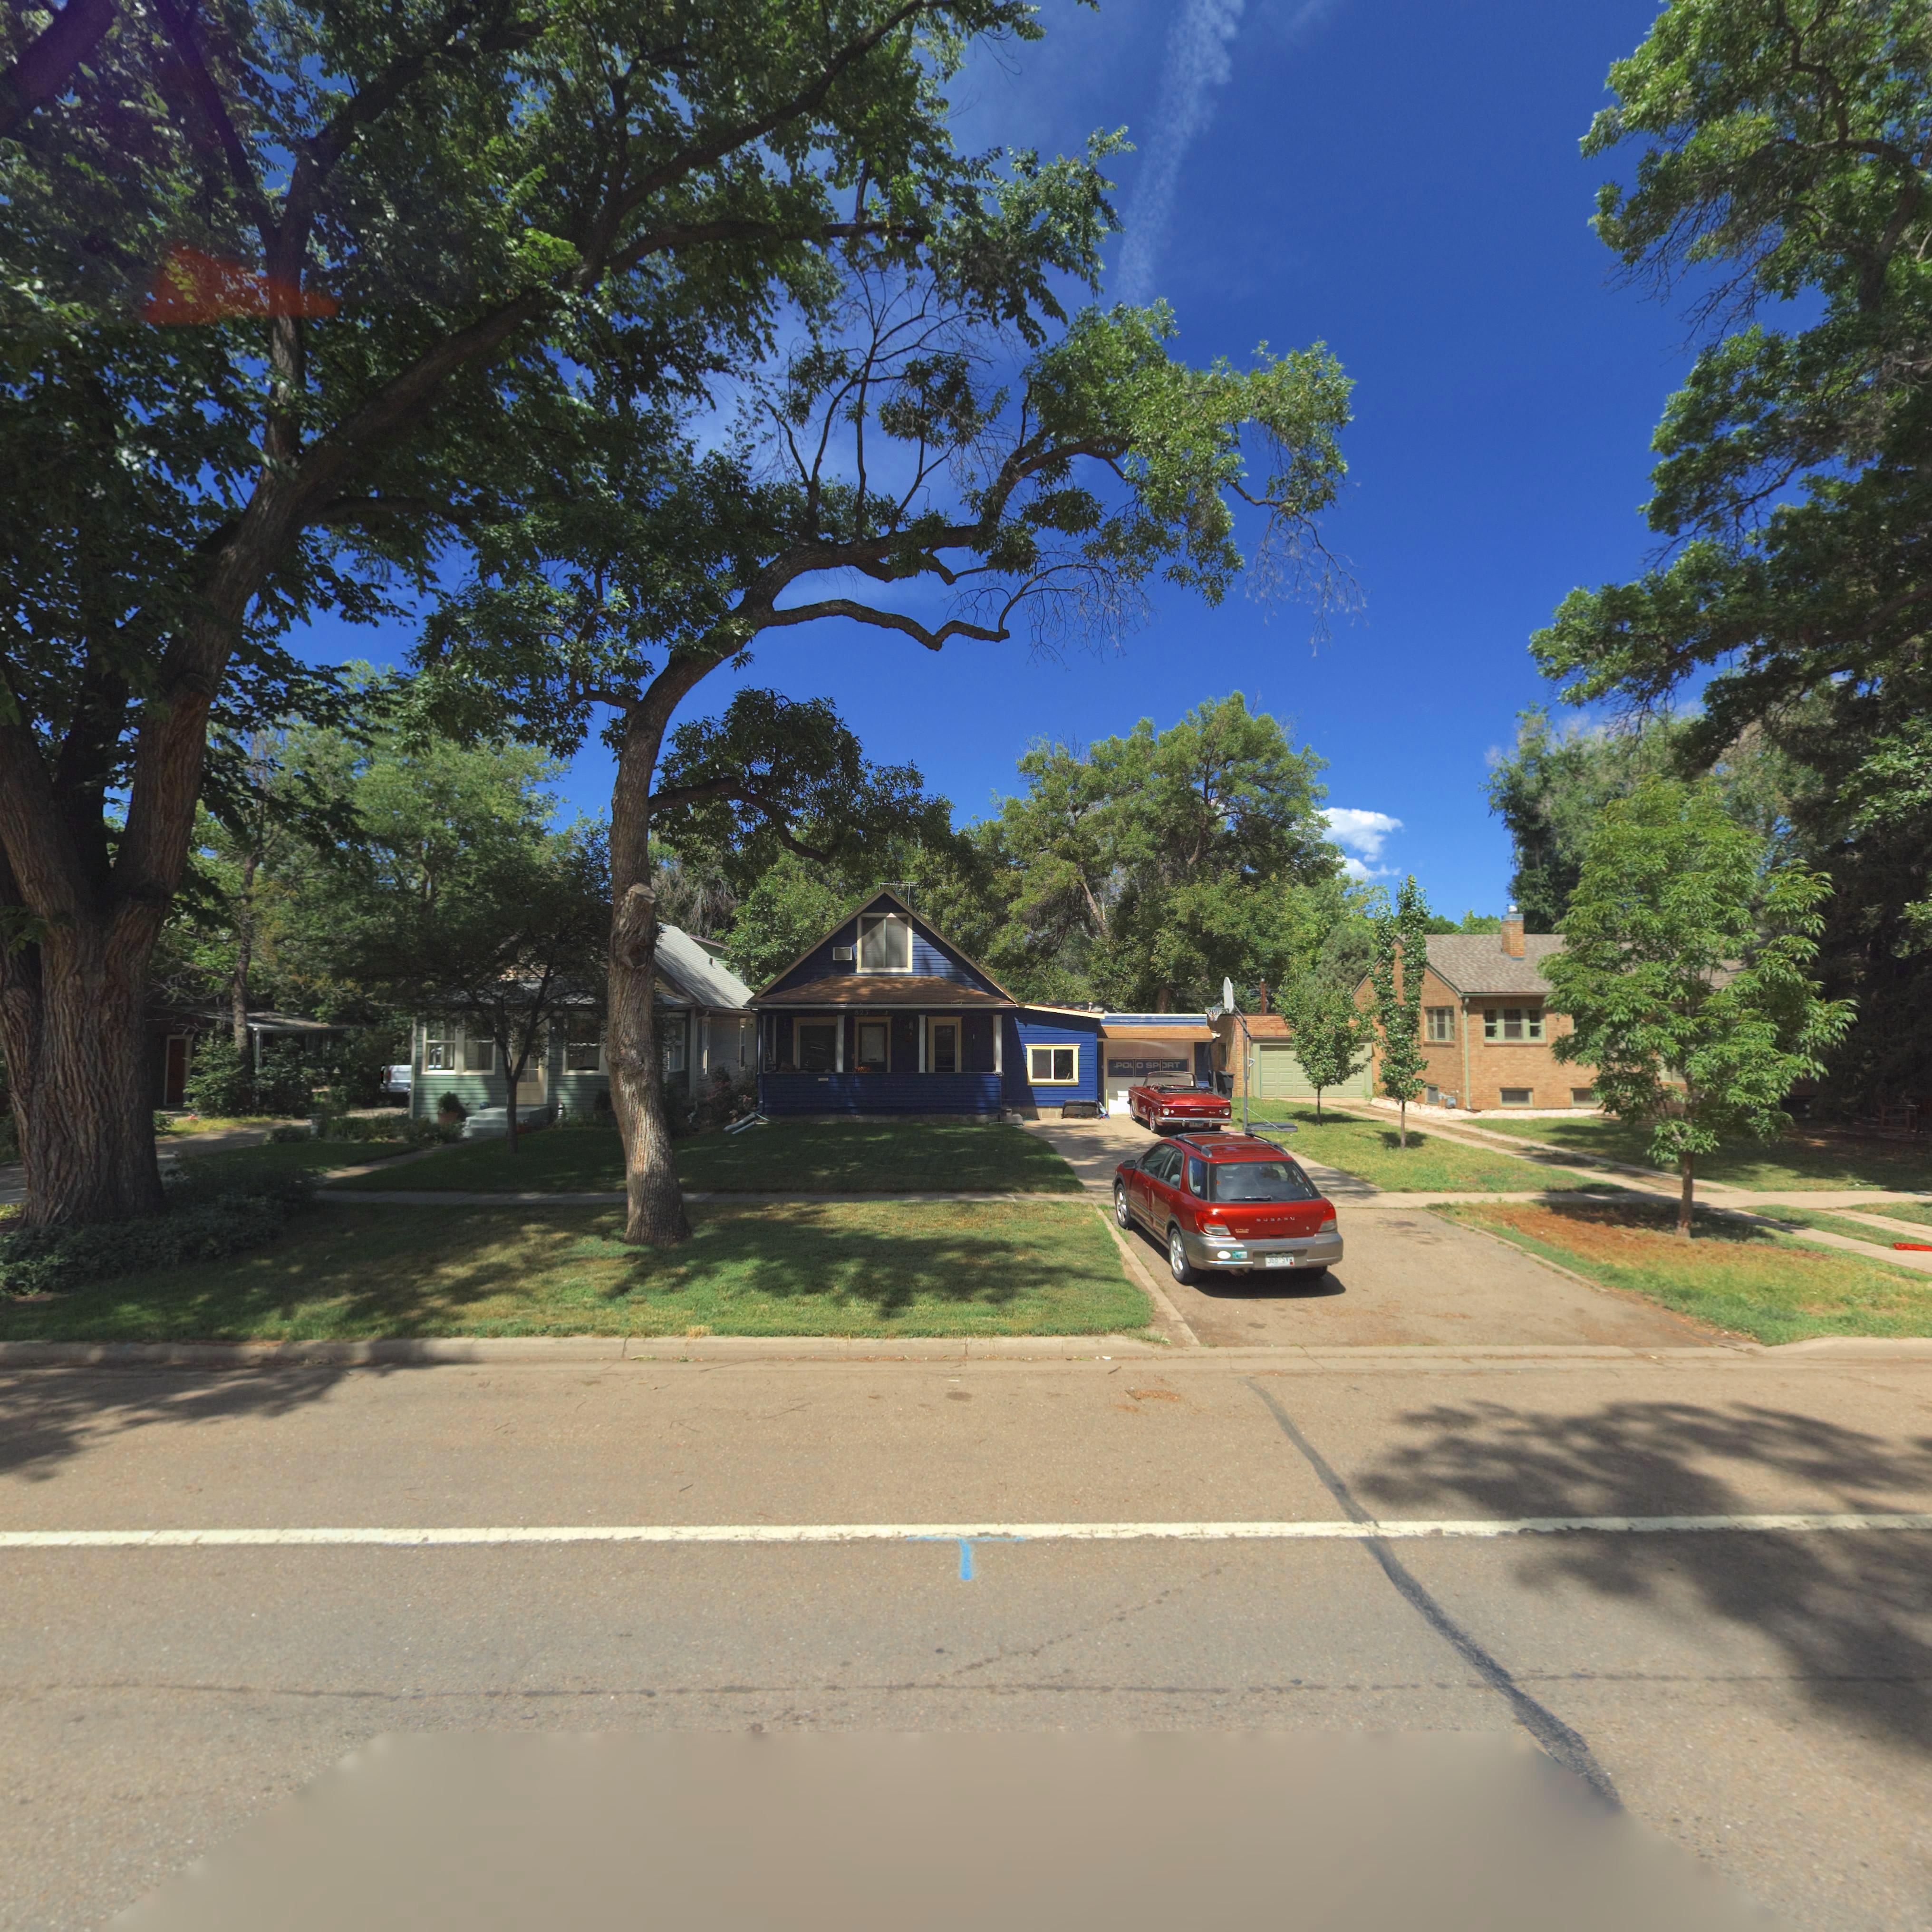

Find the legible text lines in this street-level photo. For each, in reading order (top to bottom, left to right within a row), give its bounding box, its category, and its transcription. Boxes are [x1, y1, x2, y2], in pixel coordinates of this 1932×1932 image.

[854, 1009, 869, 1016] StreetNumber: 823